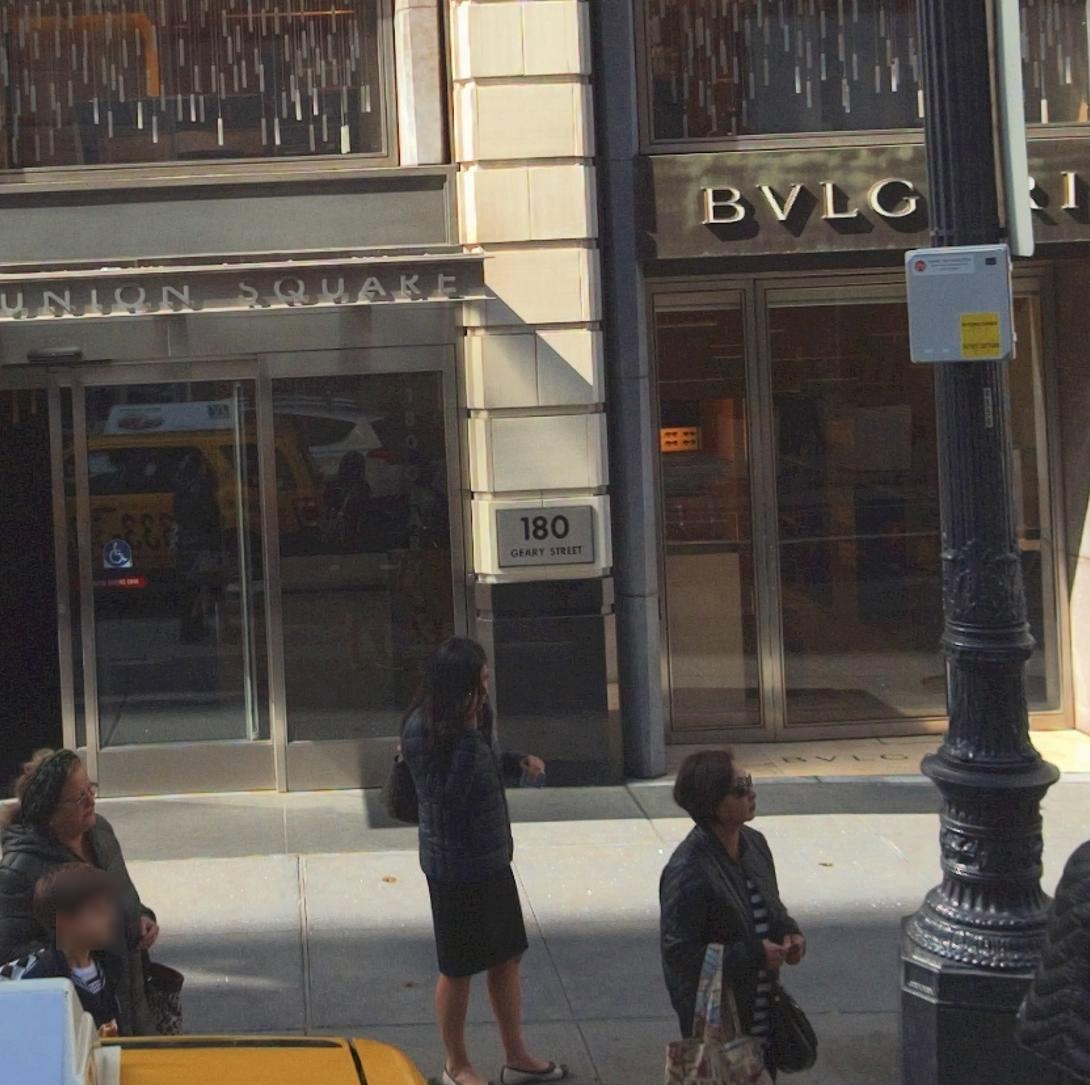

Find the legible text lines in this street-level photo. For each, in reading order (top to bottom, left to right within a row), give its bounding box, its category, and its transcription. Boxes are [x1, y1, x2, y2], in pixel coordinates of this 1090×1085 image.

[705, 176, 921, 226] BusinessName: BVLG
[1061, 171, 1081, 210] None: I
[0, 266, 457, 315] None: UNION SQUARE
[405, 386, 418, 451] StreetNumber: 180
[404, 464, 425, 578] StreetName: GEARY
[520, 513, 569, 541] StreetNumber: 180
[510, 544, 583, 558] StreetName: GEARY STREET
[779, 751, 912, 765] None: BVL*